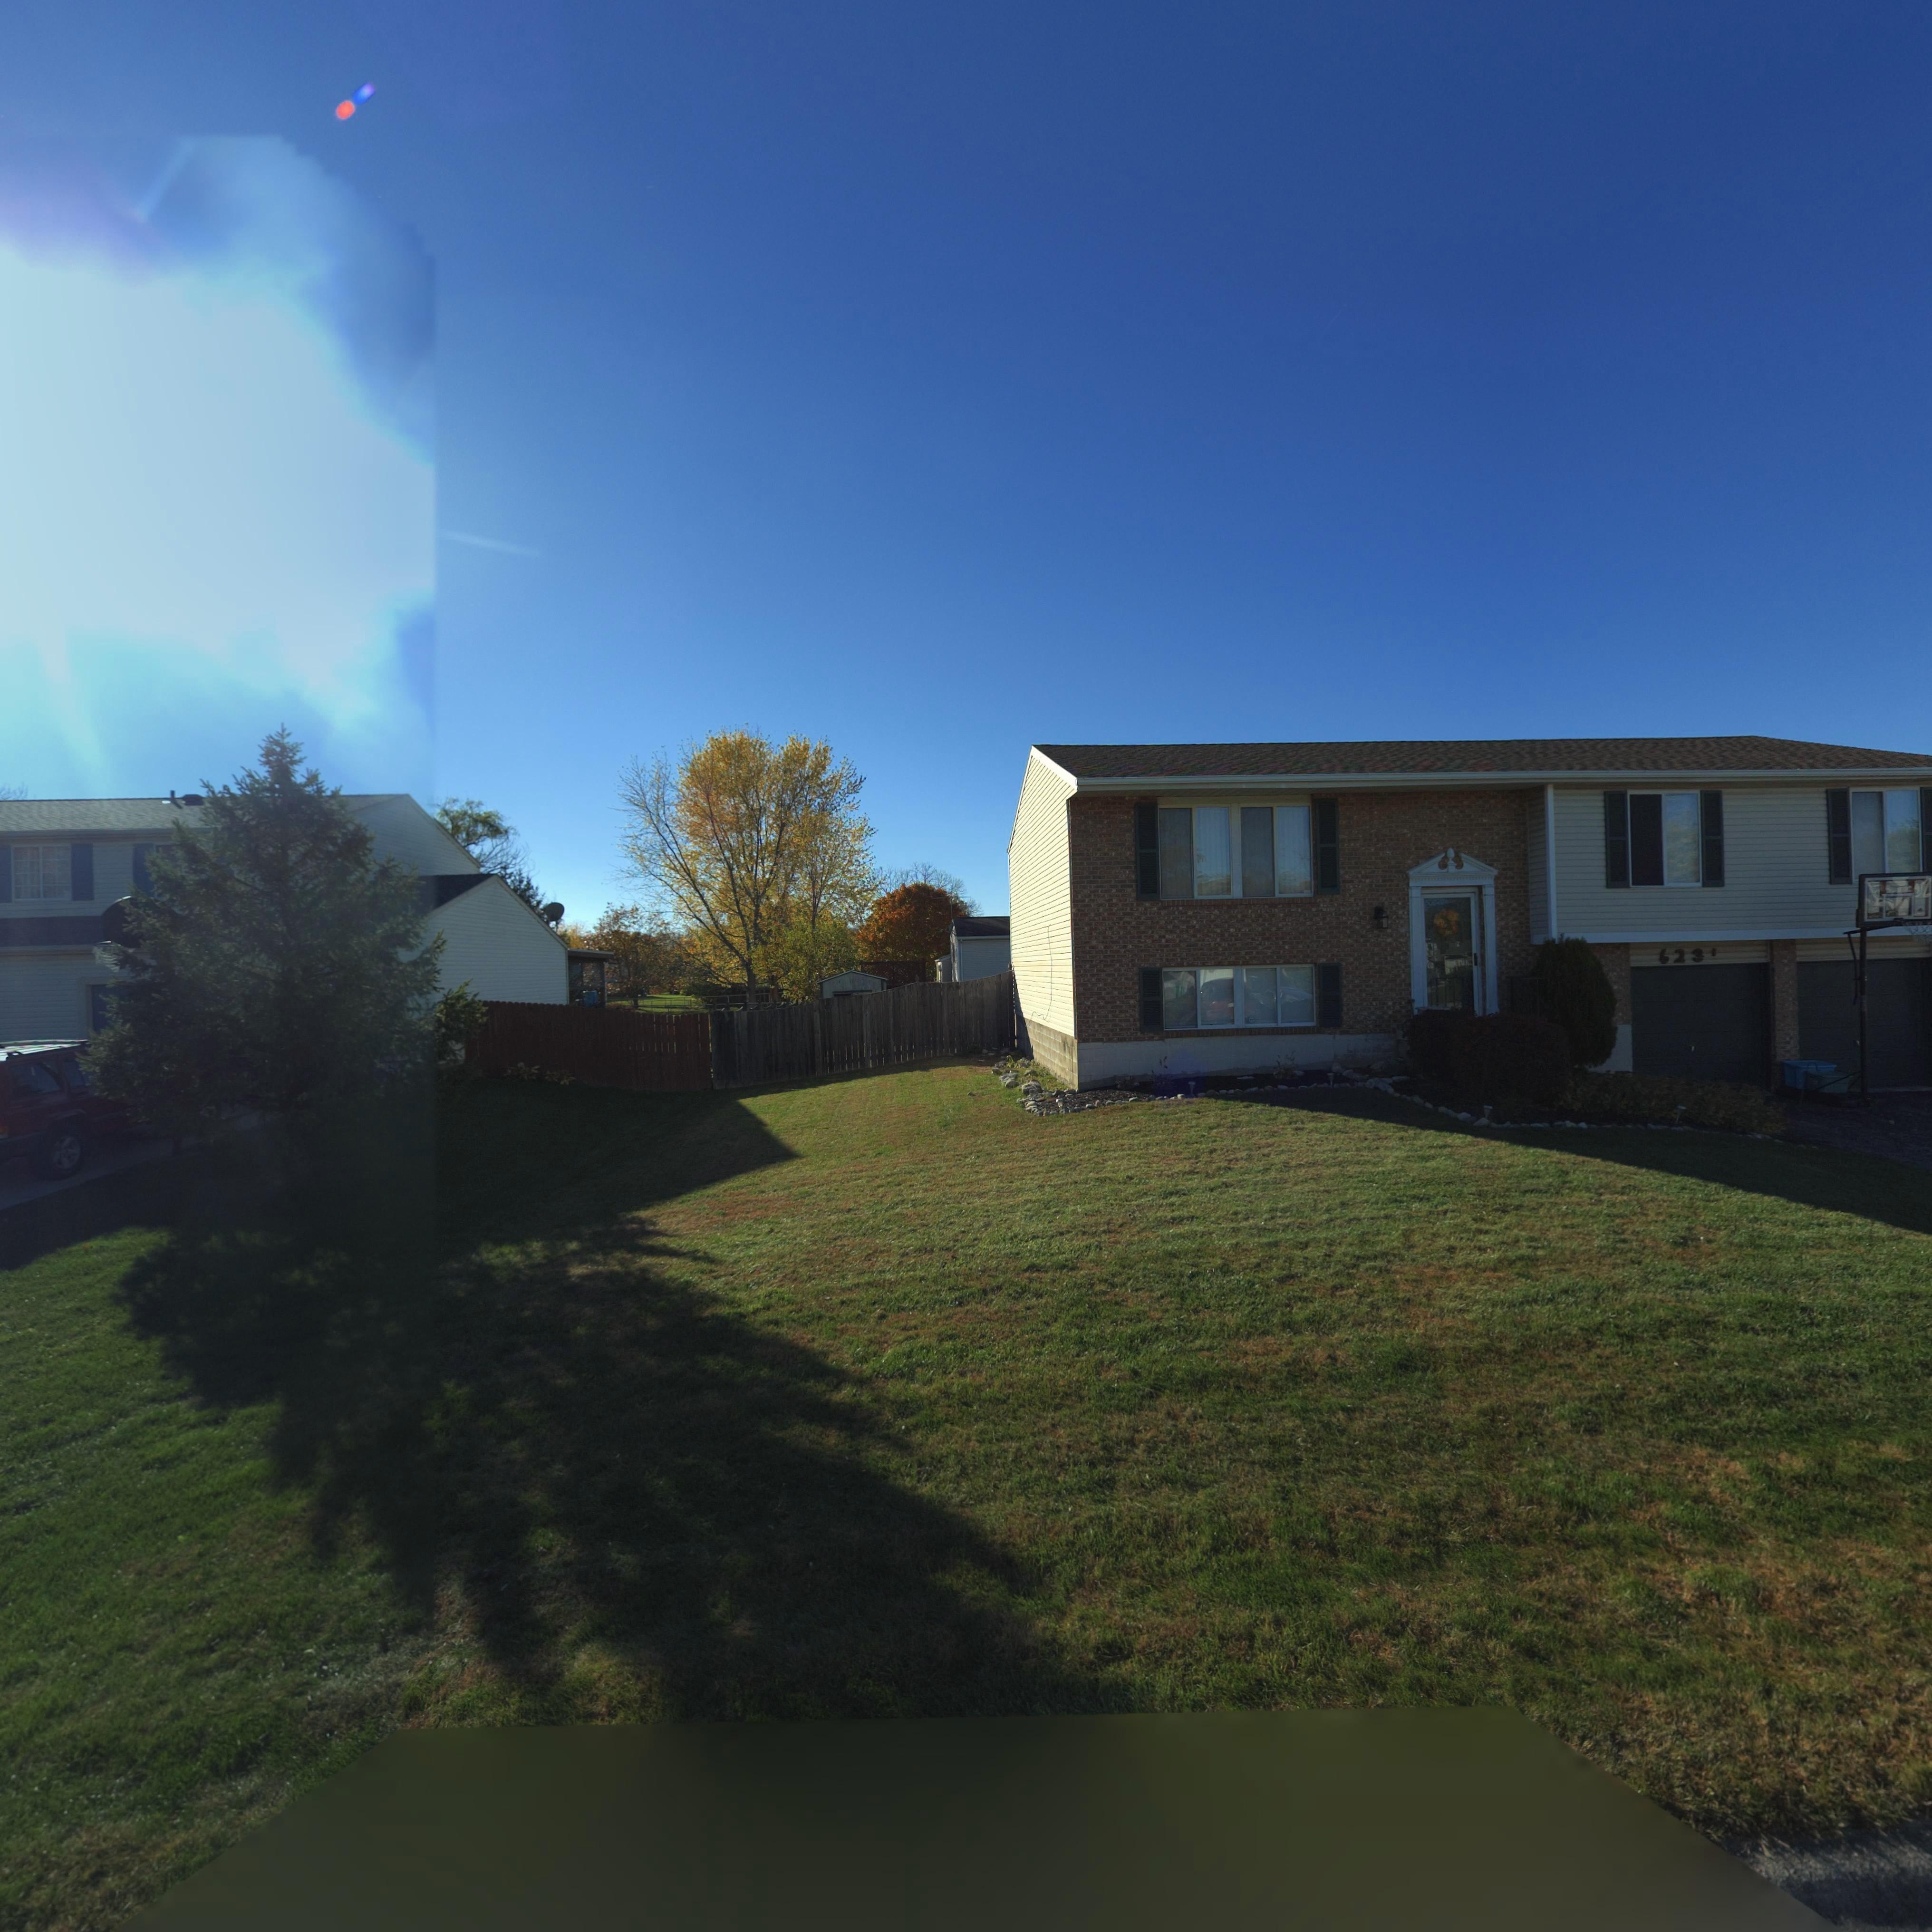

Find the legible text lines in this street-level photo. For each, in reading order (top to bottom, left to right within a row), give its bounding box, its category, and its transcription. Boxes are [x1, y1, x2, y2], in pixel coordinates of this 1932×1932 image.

[1657, 946, 1718, 966] StreetNumber: 623*